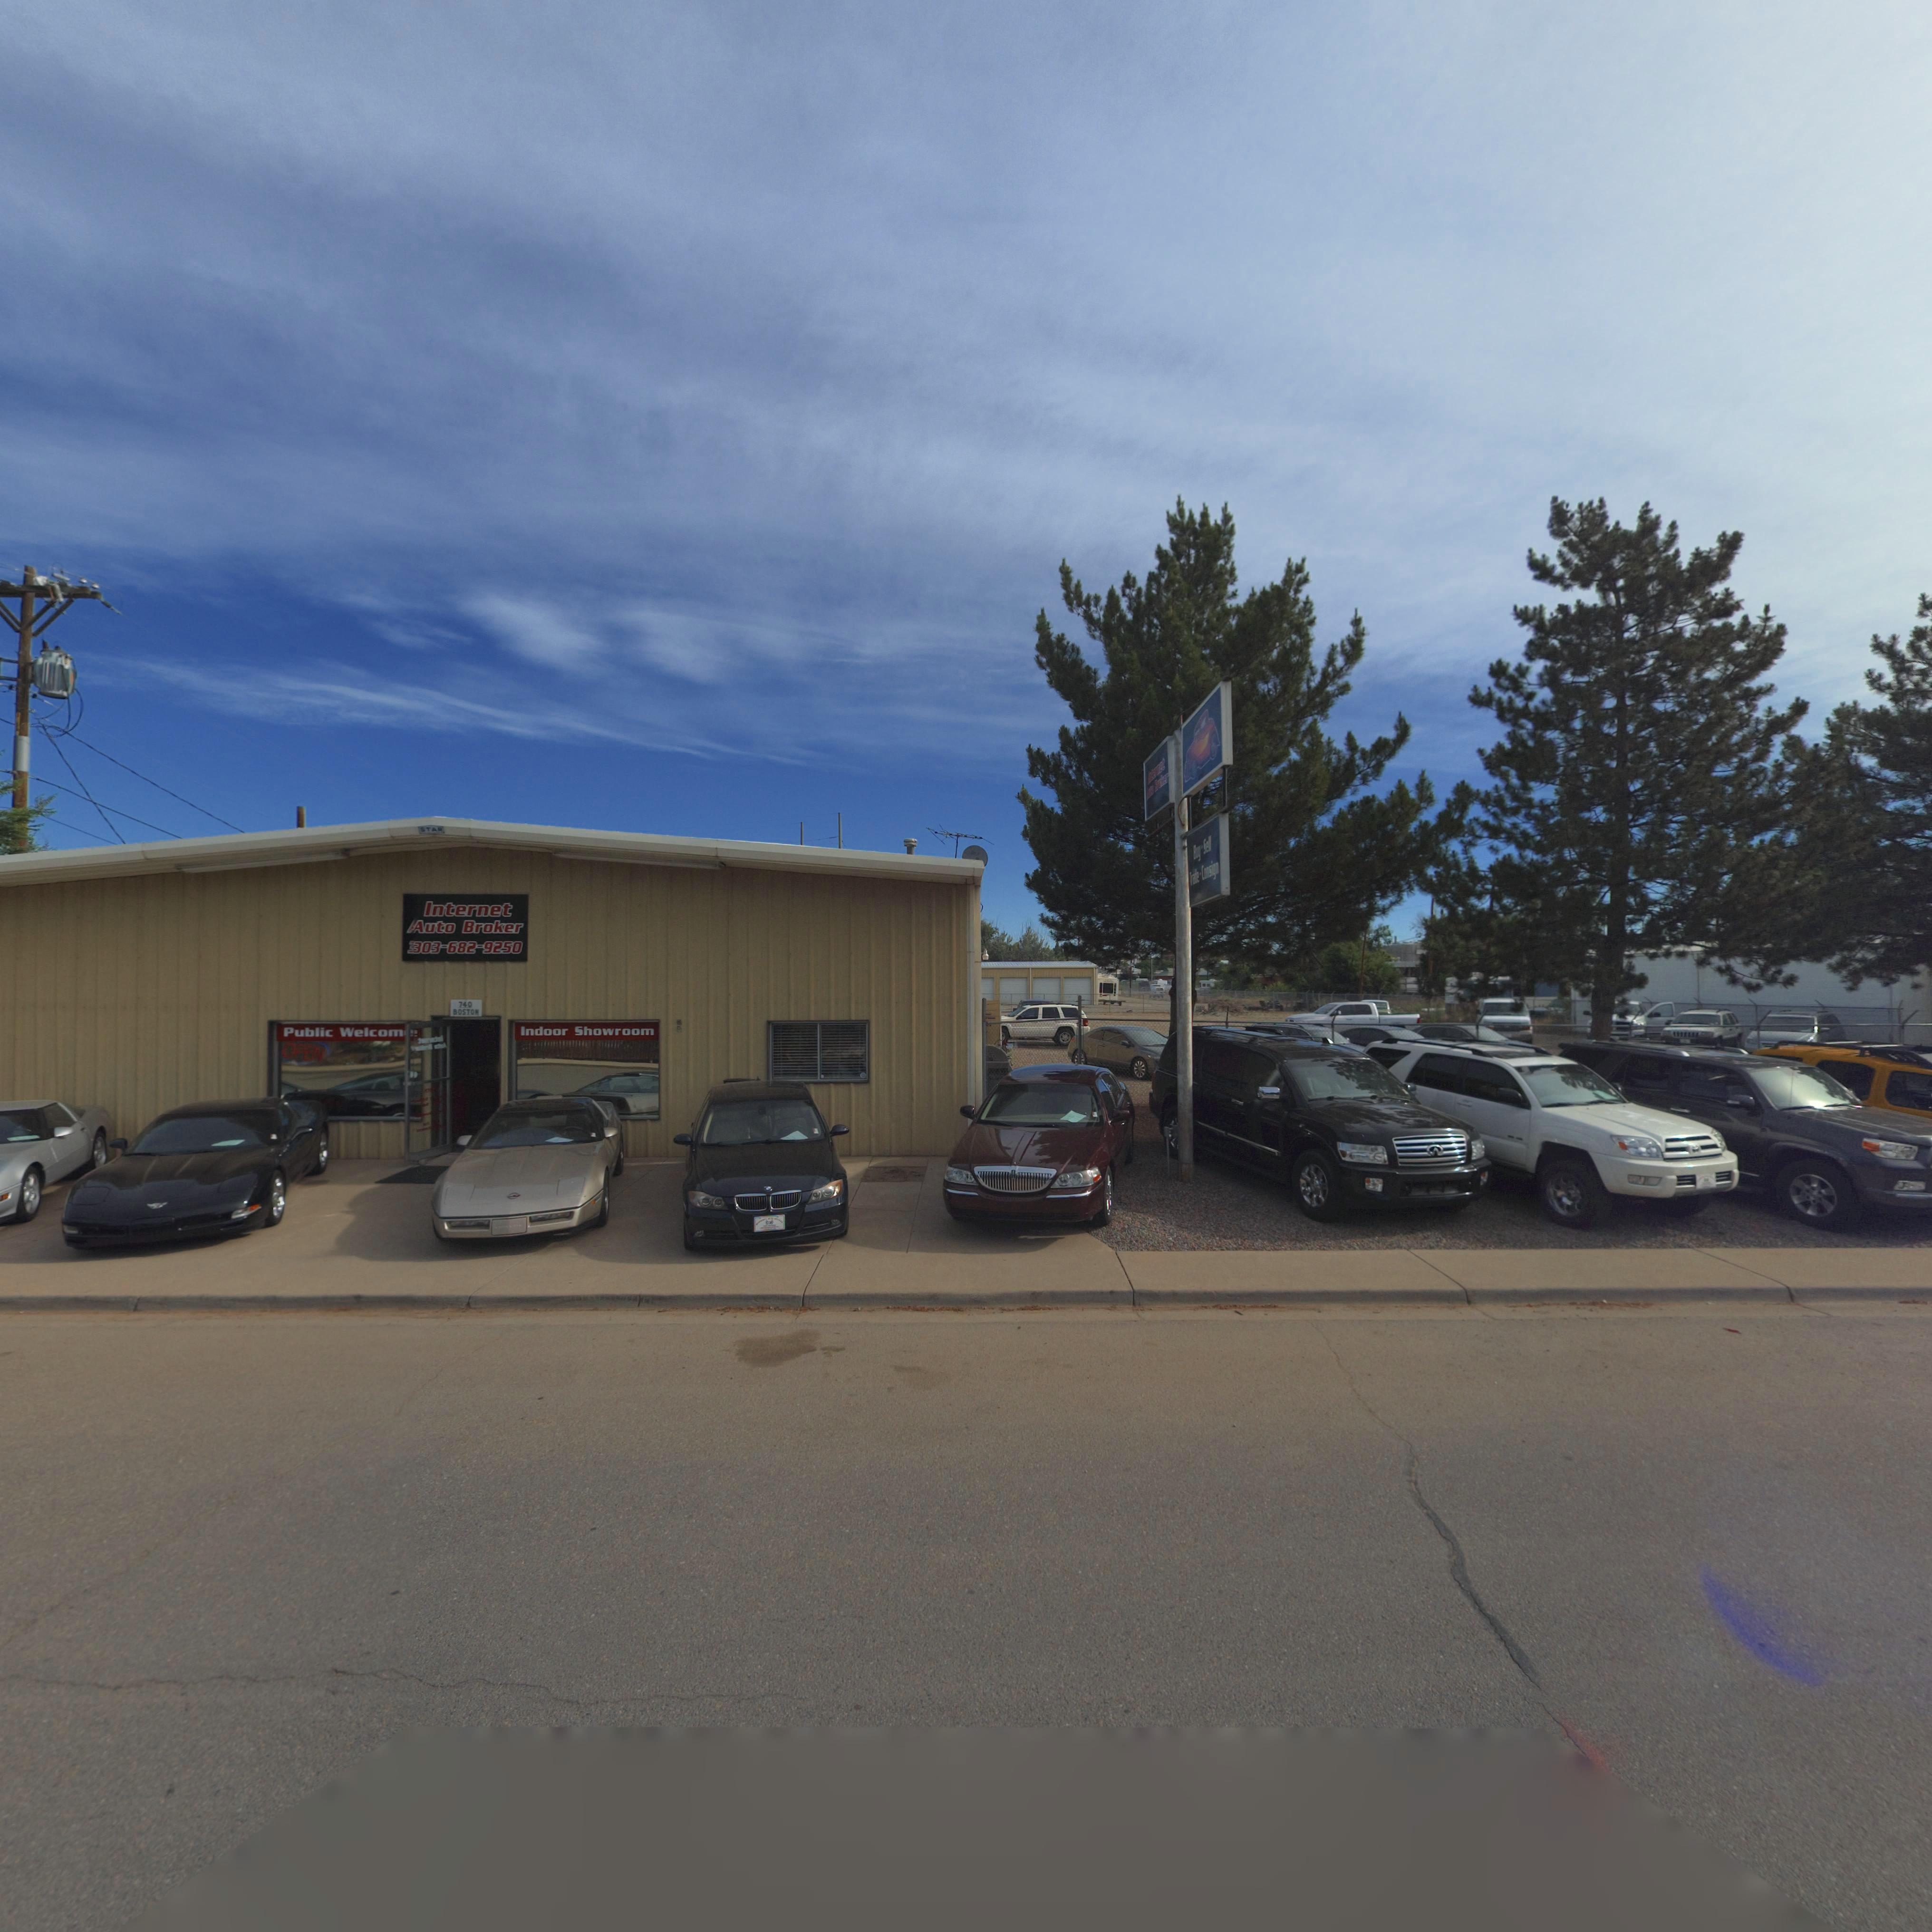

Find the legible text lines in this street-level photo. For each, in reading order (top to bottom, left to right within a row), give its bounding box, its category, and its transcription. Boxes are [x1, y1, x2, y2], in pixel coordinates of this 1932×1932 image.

[1148, 757, 1165, 783] BusinessName: *n***net
[1154, 773, 1168, 792] BusinessName: ****er
[423, 900, 513, 917] BusinessName: Internet
[412, 919, 523, 933] BusinessName: Auto Broker
[458, 1001, 472, 1007] StreetNumber: 740
[453, 1009, 479, 1015] StreetName: BOSTON